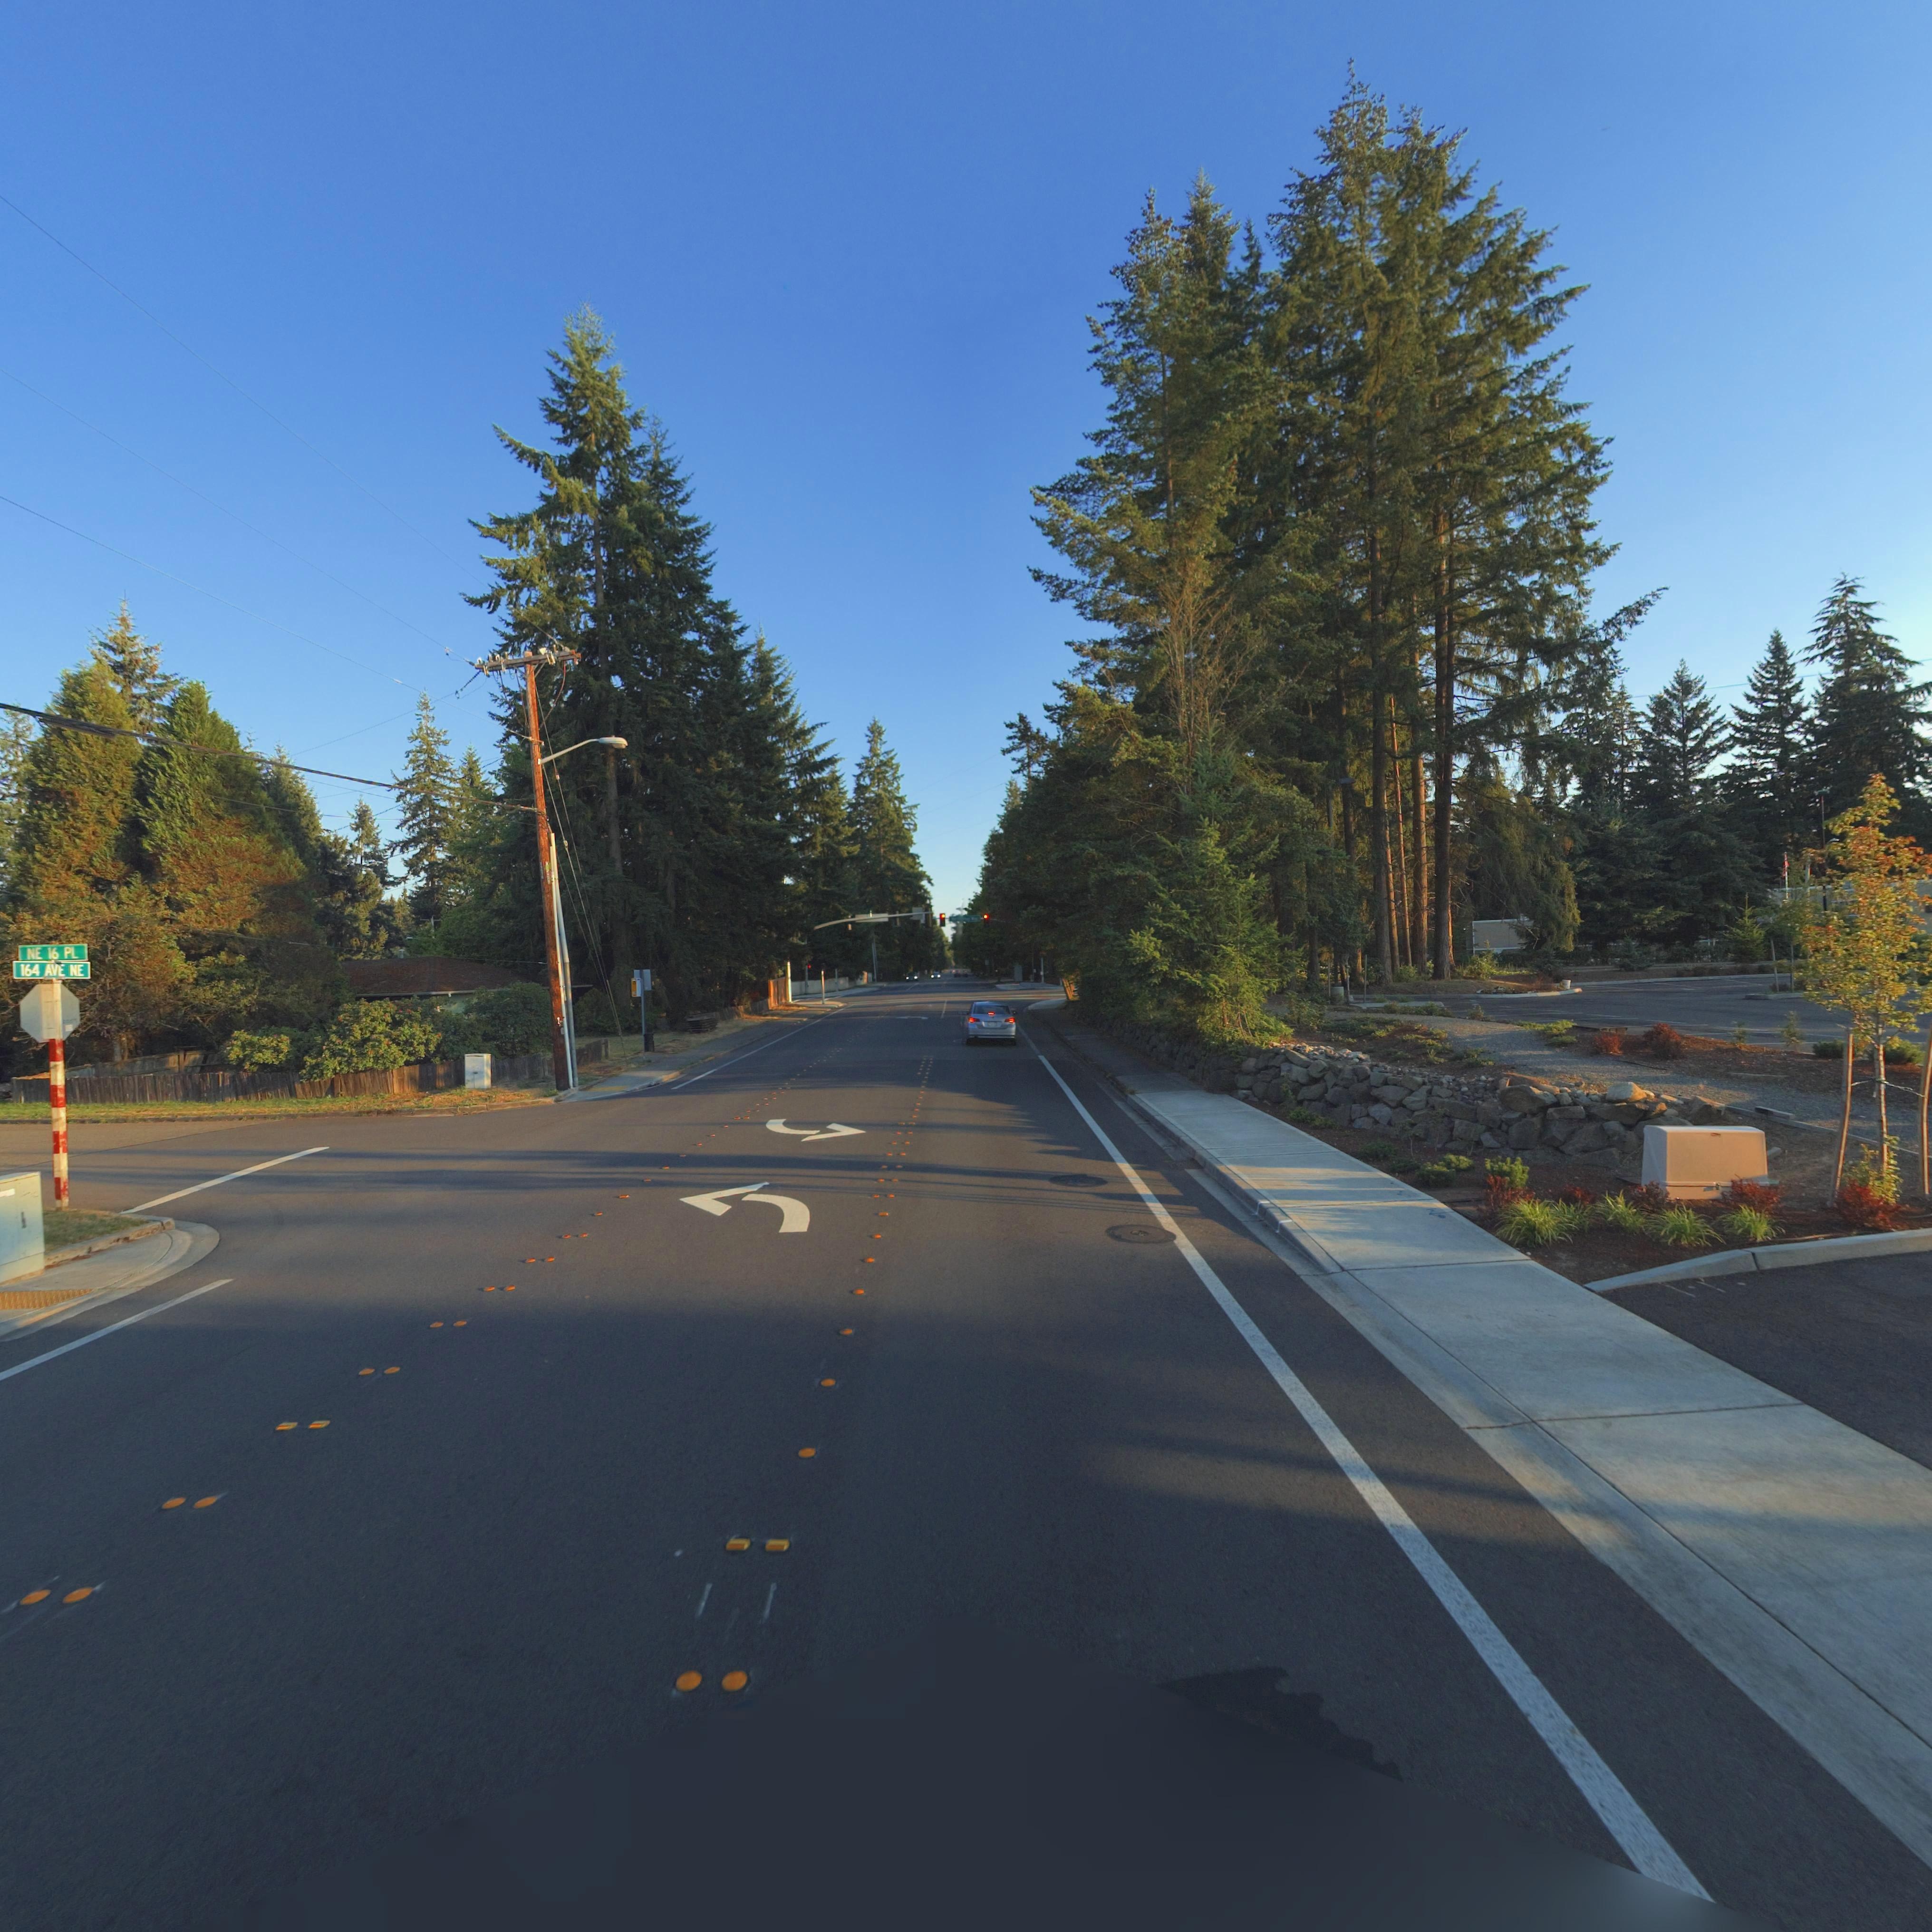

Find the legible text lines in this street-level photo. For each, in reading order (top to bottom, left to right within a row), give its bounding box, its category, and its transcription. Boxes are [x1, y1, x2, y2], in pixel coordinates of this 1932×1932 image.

[27, 946, 78, 958] StreetName: NE 16 PL
[19, 963, 85, 977] StreetName: 164 AVE NE